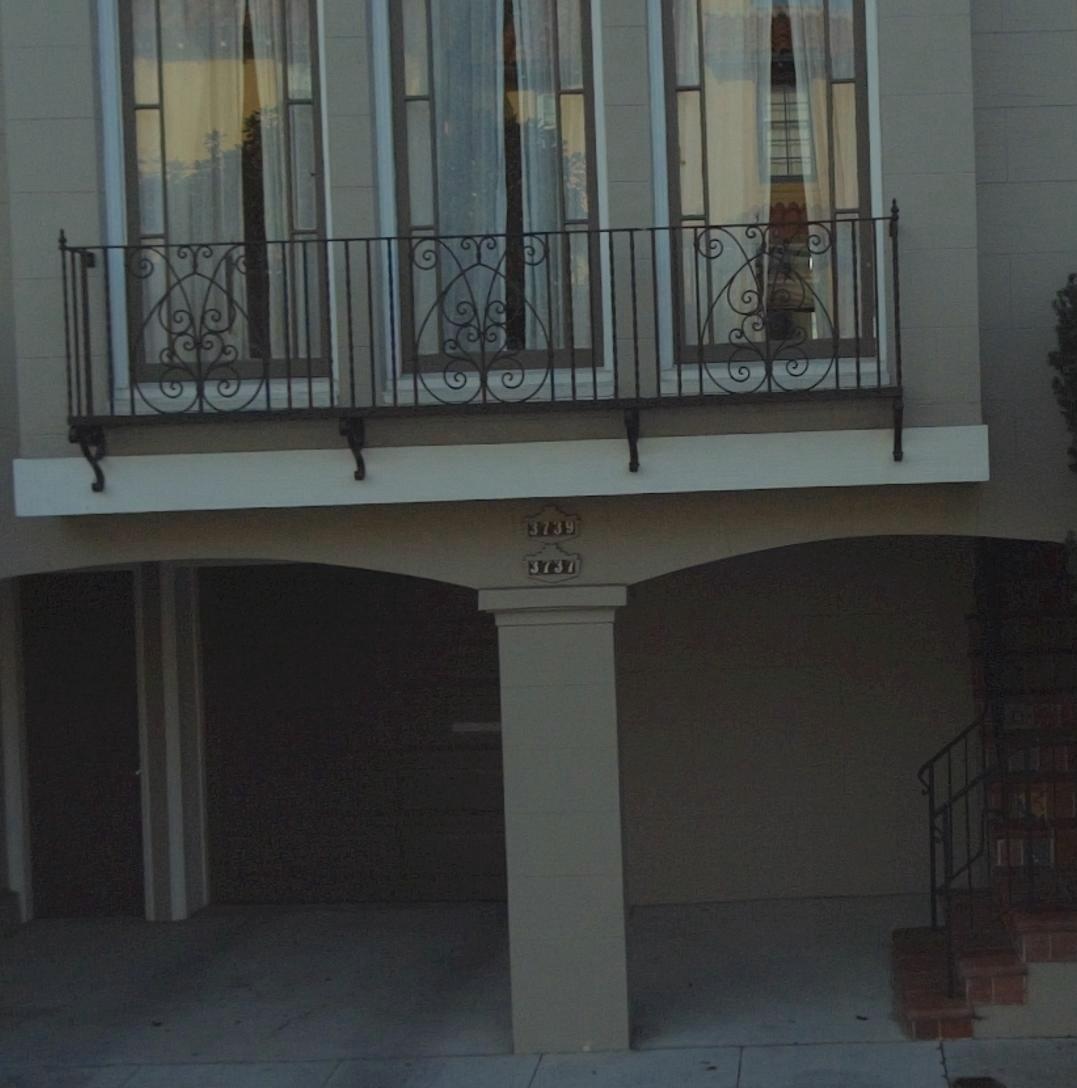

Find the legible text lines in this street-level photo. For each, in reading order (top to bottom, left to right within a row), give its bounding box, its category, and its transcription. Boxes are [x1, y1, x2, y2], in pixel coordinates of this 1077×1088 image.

[528, 518, 577, 537] StreetNumber: 3739
[527, 557, 577, 576] StreetNumber: 3737